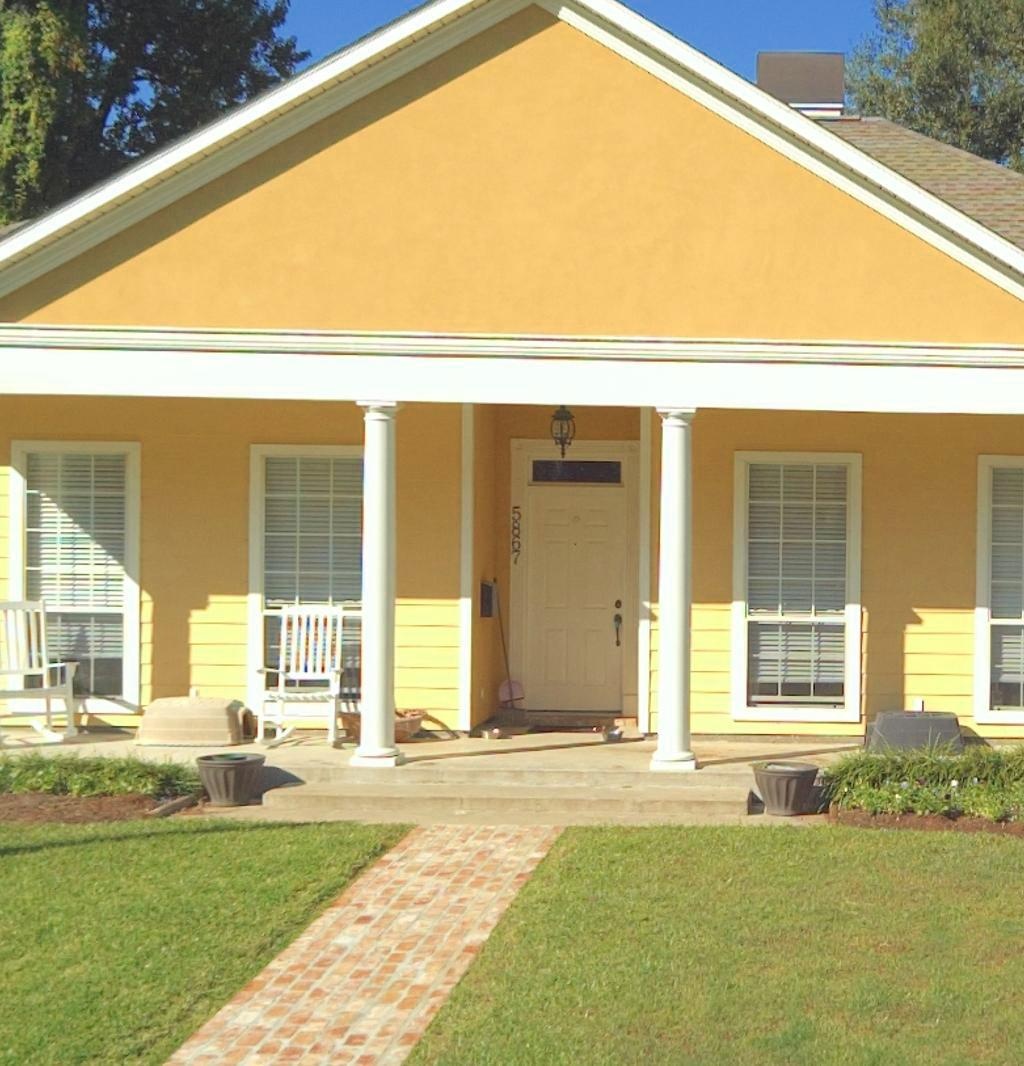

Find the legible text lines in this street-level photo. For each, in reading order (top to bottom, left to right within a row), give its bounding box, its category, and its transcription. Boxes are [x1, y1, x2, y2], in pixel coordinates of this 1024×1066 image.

[510, 504, 523, 566] StreetNumber: 5867